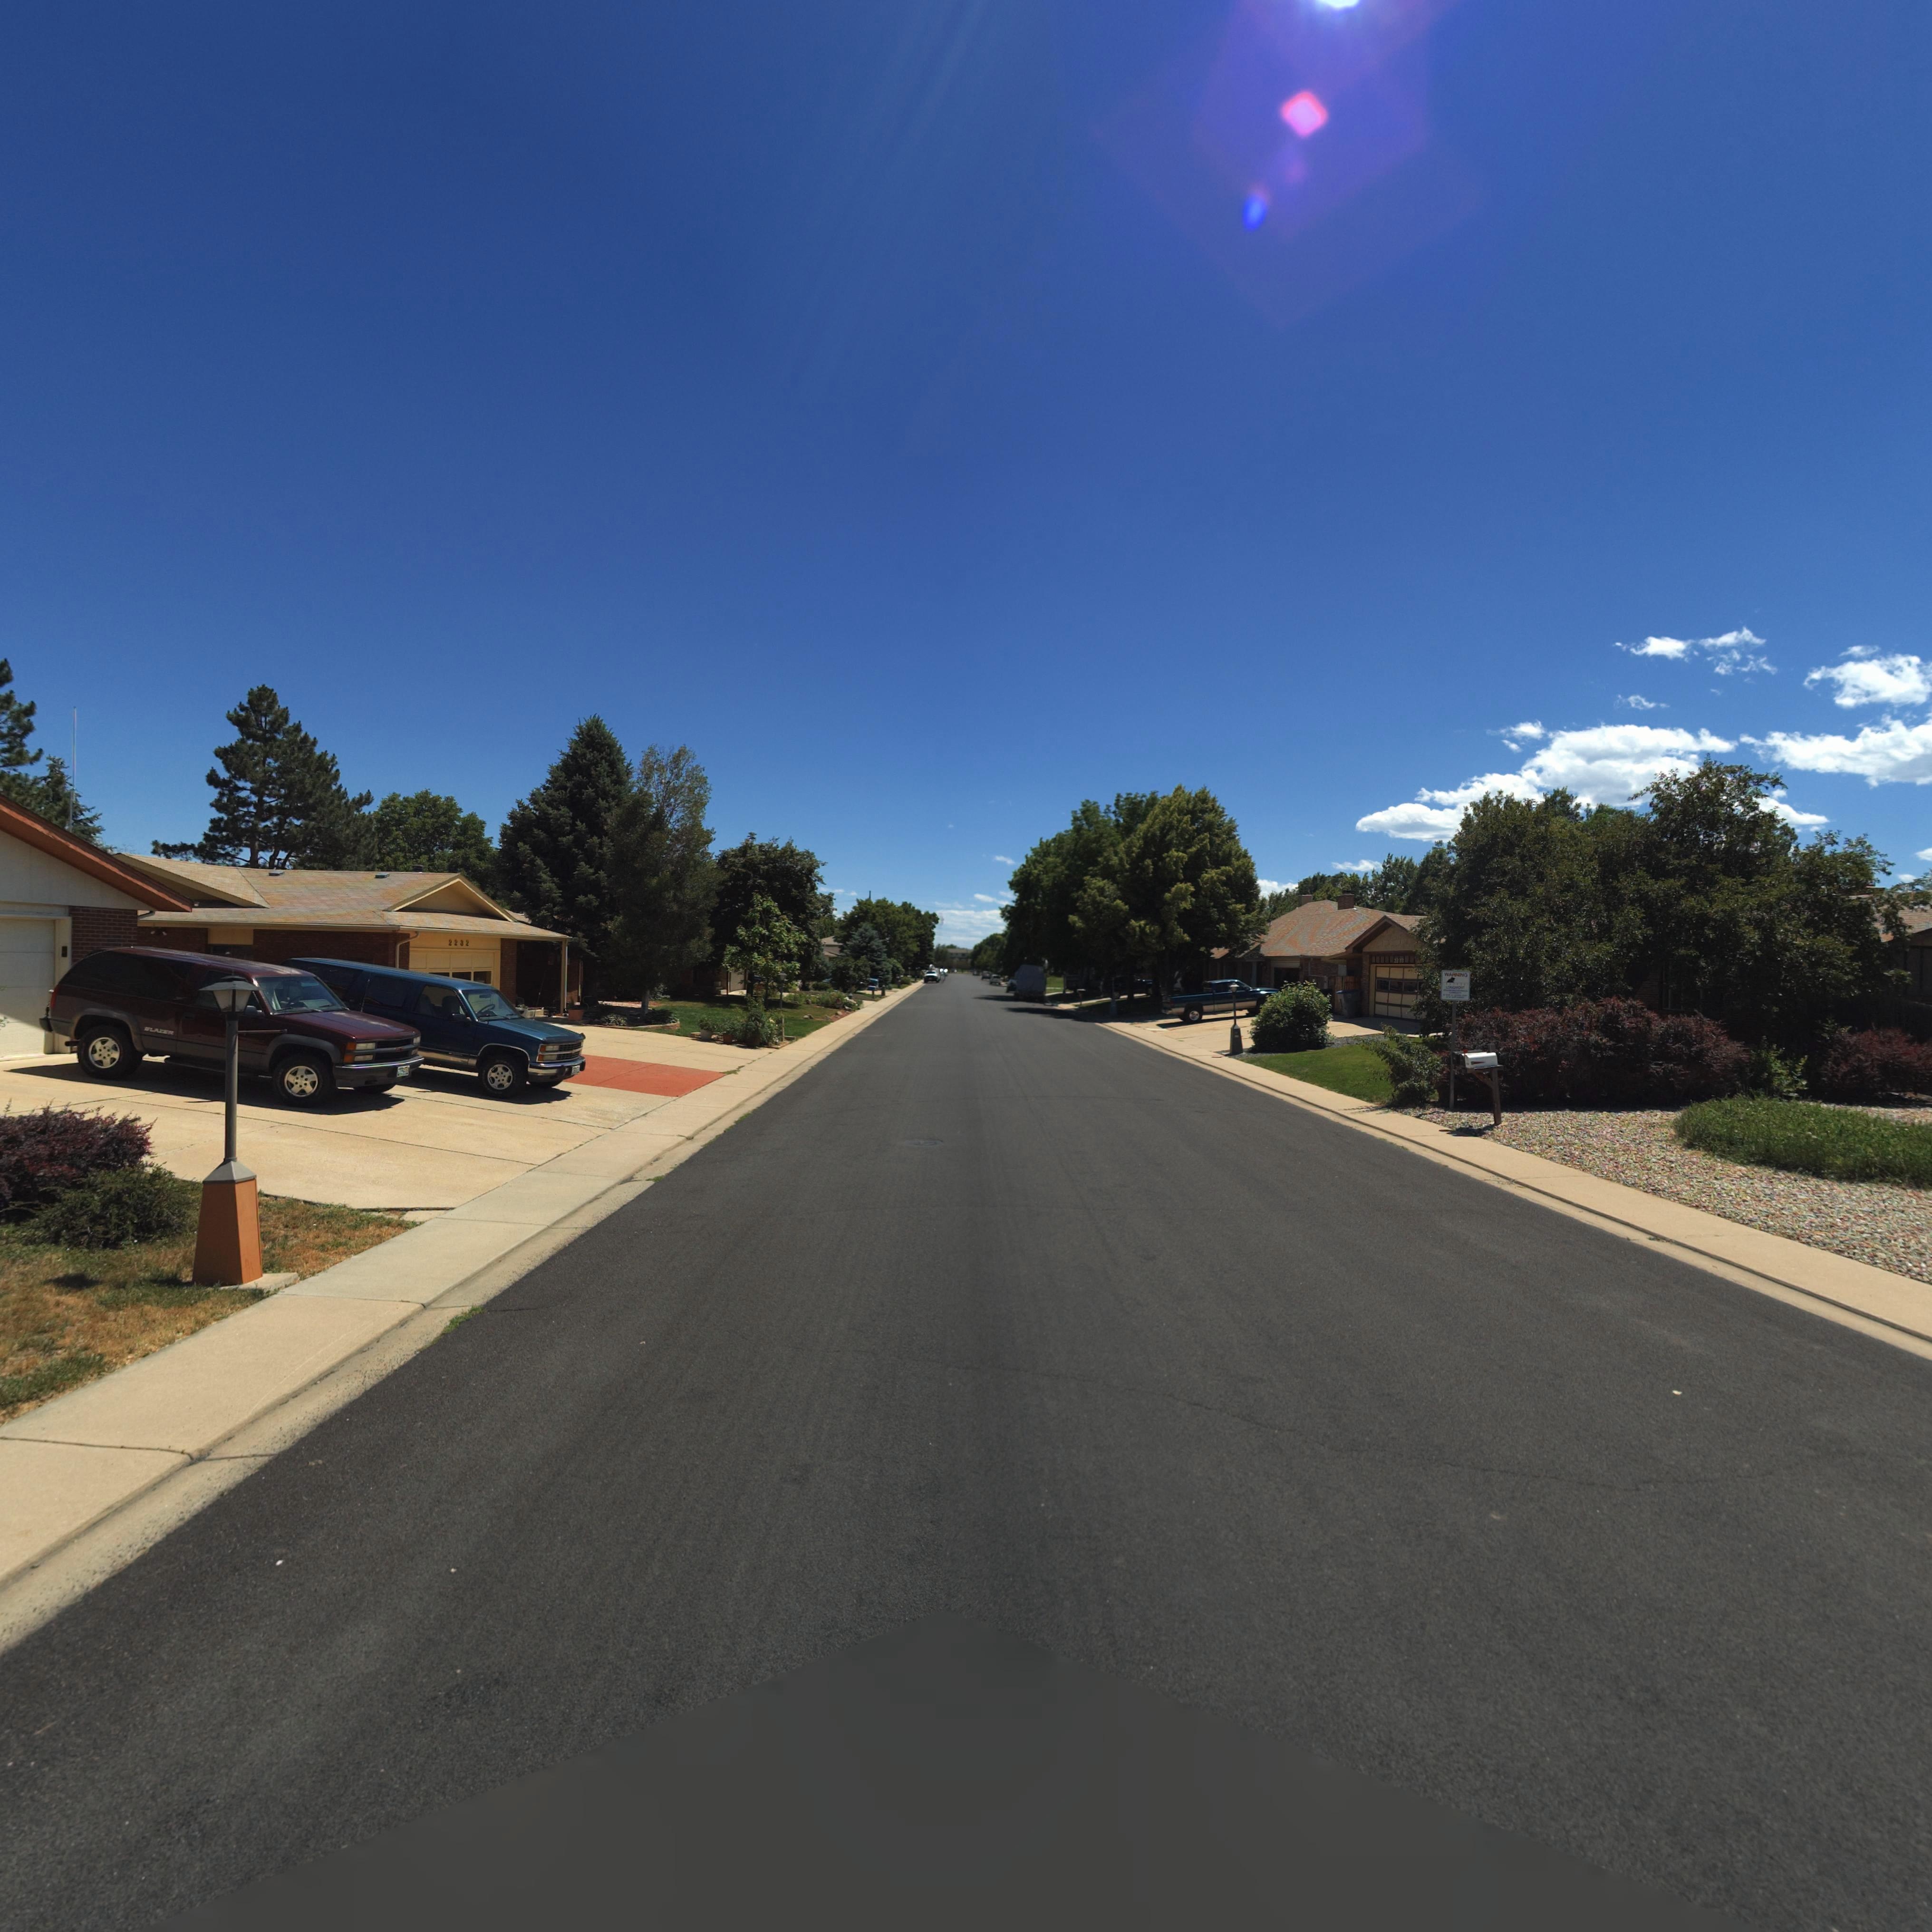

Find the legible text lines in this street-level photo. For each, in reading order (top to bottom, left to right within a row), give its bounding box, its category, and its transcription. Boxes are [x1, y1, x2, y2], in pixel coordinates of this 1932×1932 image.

[445, 937, 471, 947] StreetNumber: 2232
[1393, 957, 1404, 963] StreetNumber: 2233